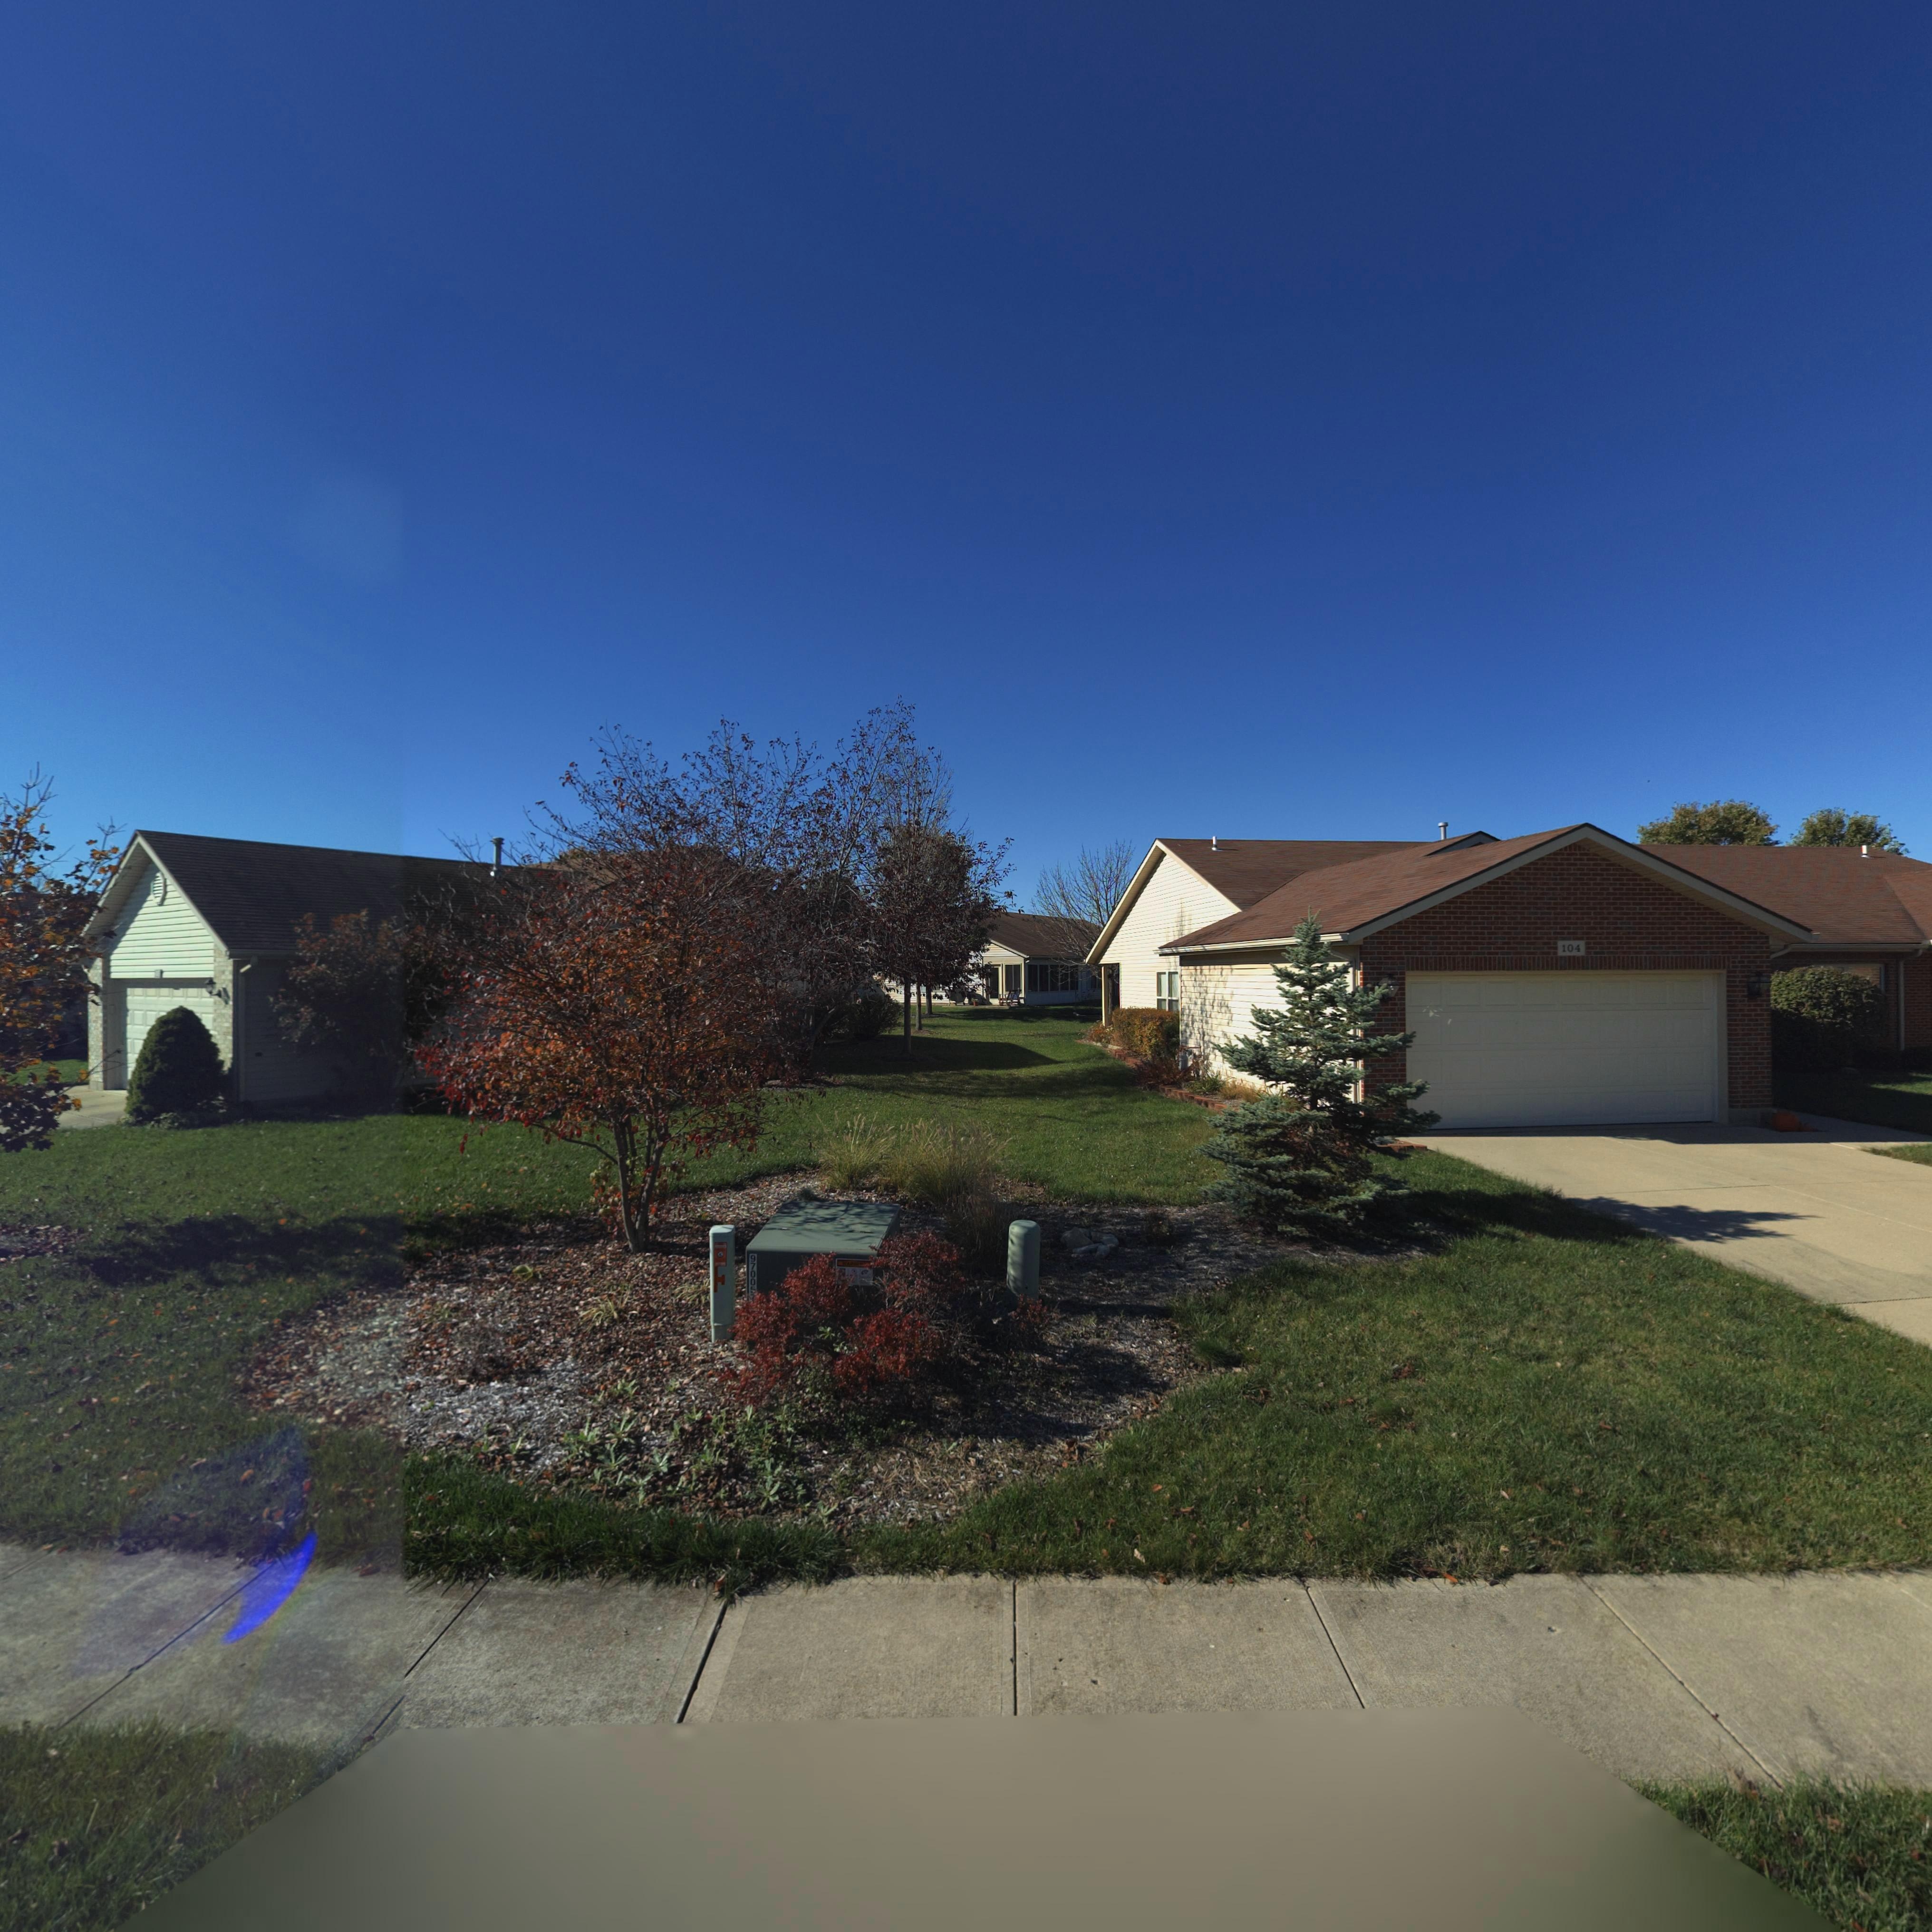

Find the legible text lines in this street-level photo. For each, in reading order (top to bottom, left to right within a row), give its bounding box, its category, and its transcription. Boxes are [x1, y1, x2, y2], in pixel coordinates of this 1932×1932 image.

[1561, 944, 1581, 953] StreetNumber: 104